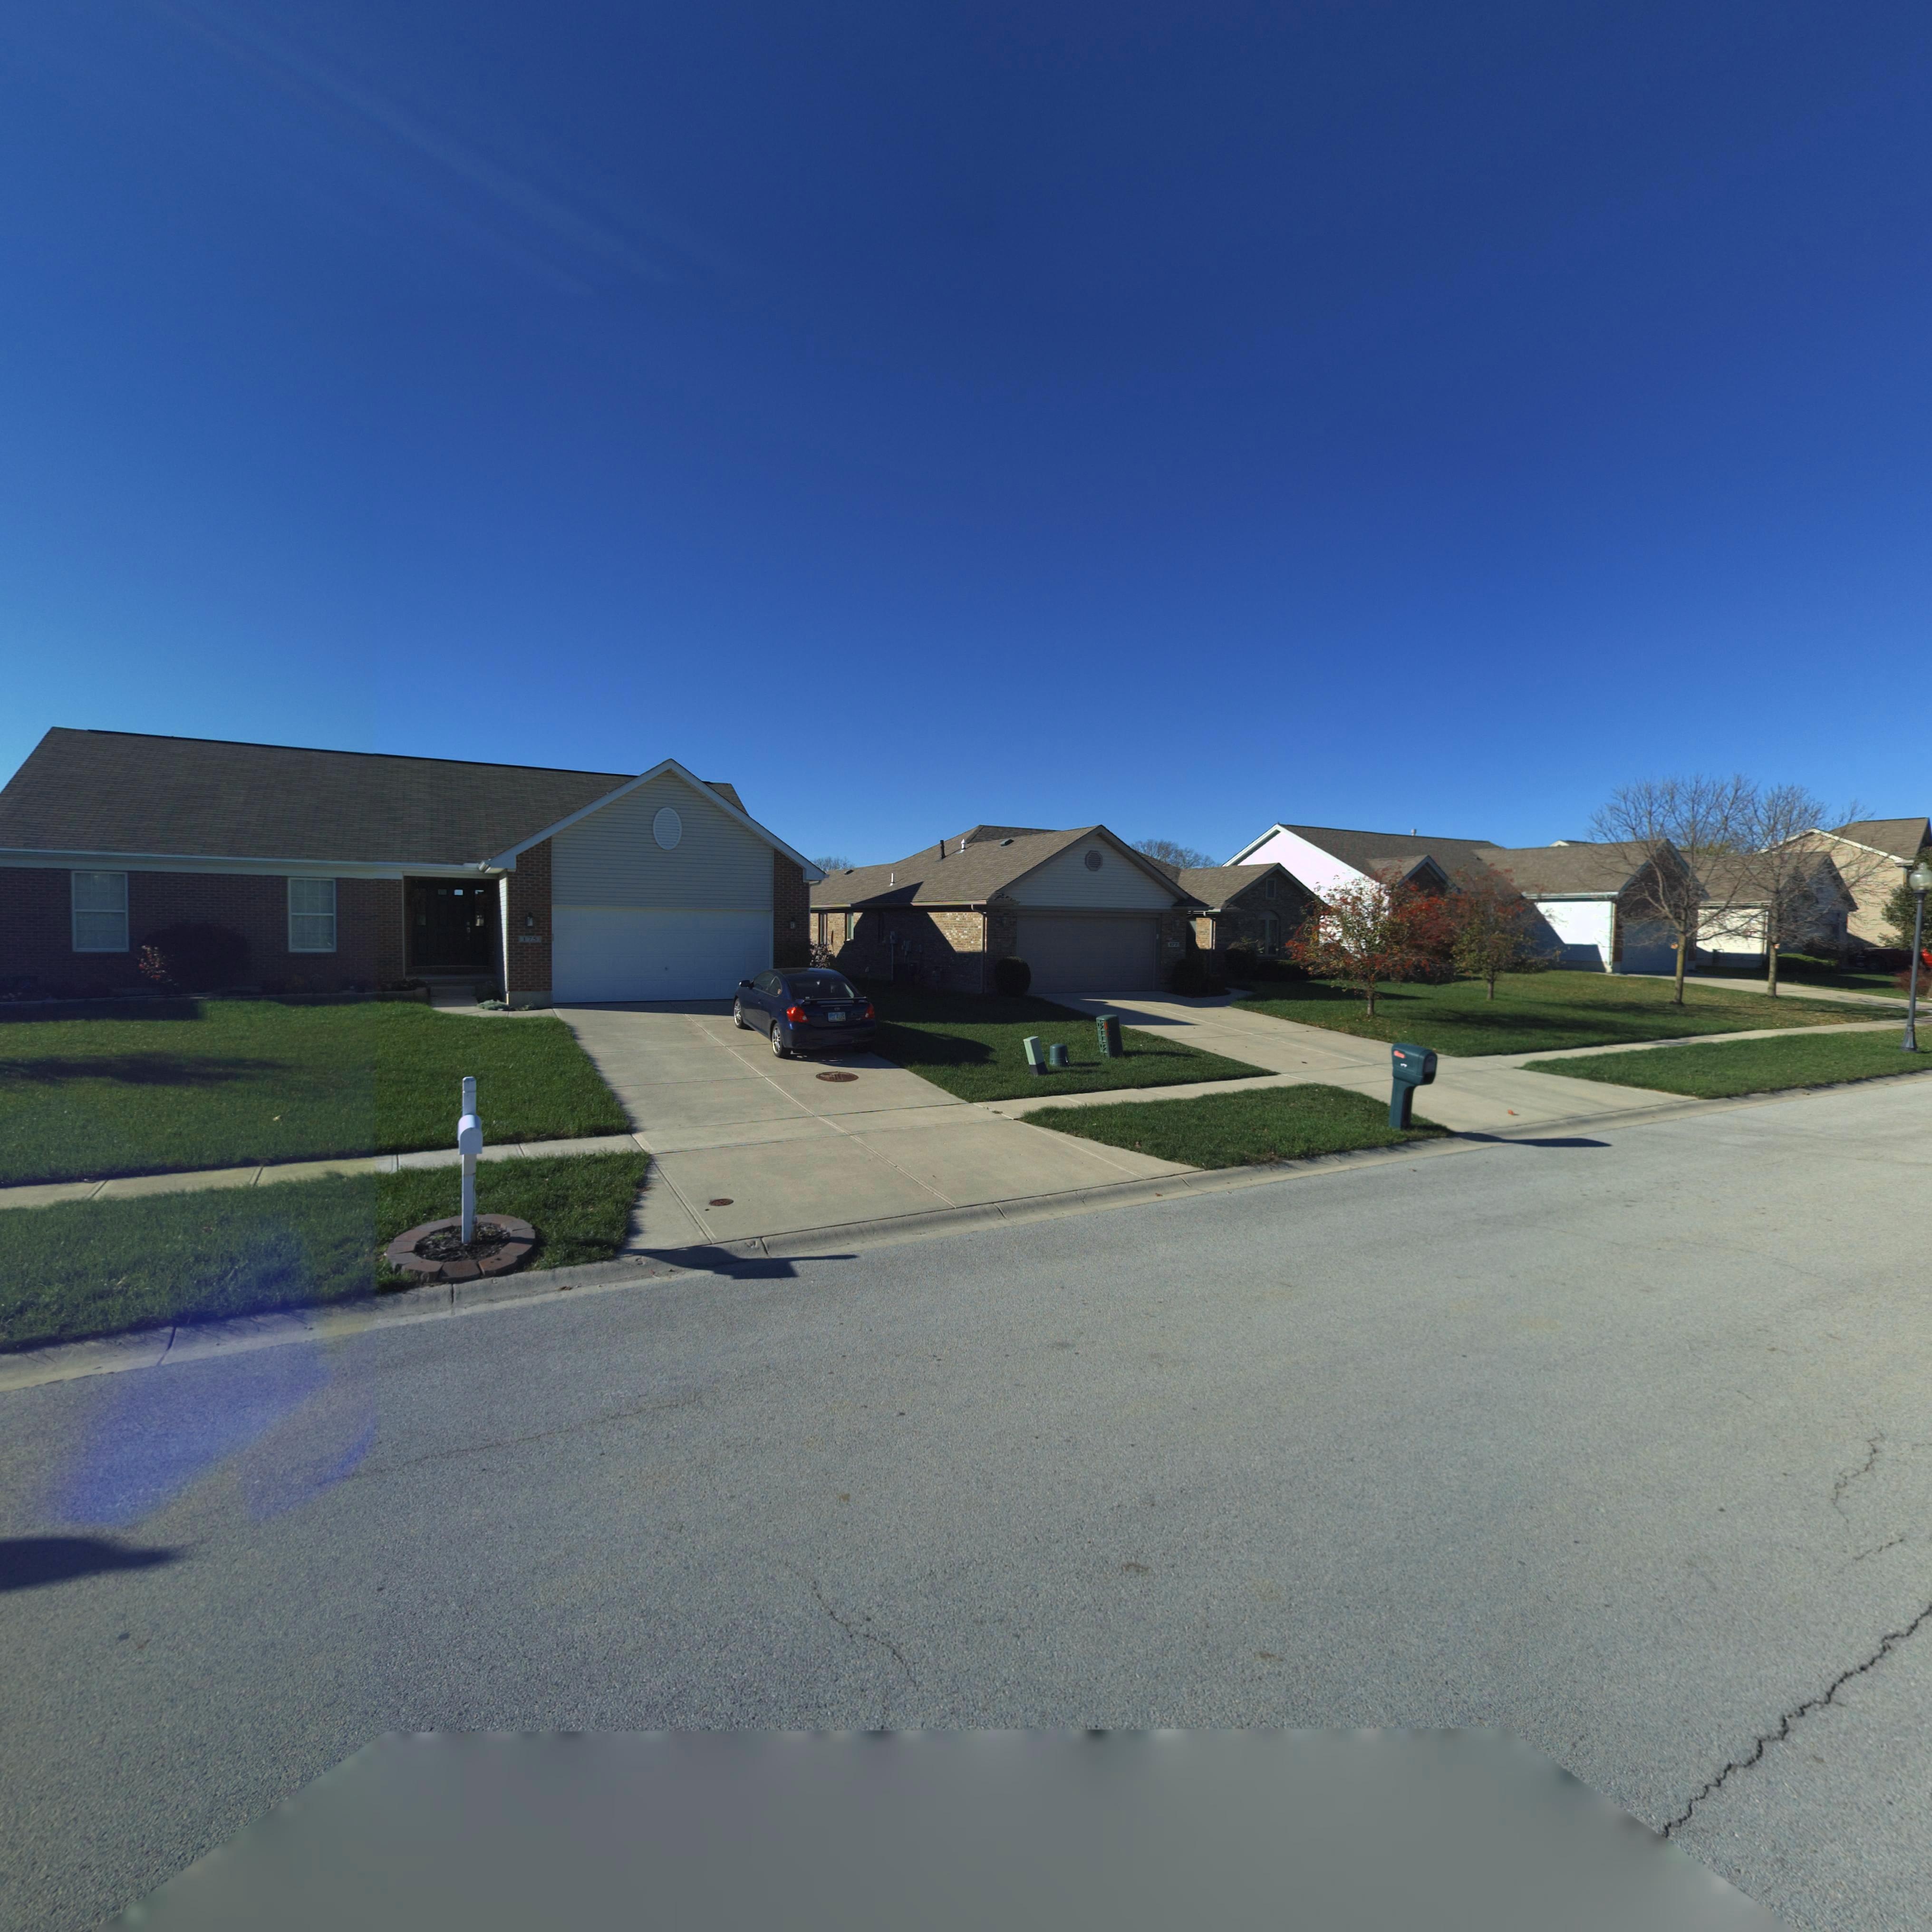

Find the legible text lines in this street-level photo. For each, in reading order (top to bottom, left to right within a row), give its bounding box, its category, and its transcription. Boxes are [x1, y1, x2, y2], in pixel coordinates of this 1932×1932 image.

[522, 936, 538, 942] StreetNumber: 175
[1169, 942, 1179, 947] StreetNumber: 177
[1400, 1062, 1408, 1068] StreetNumber: 177